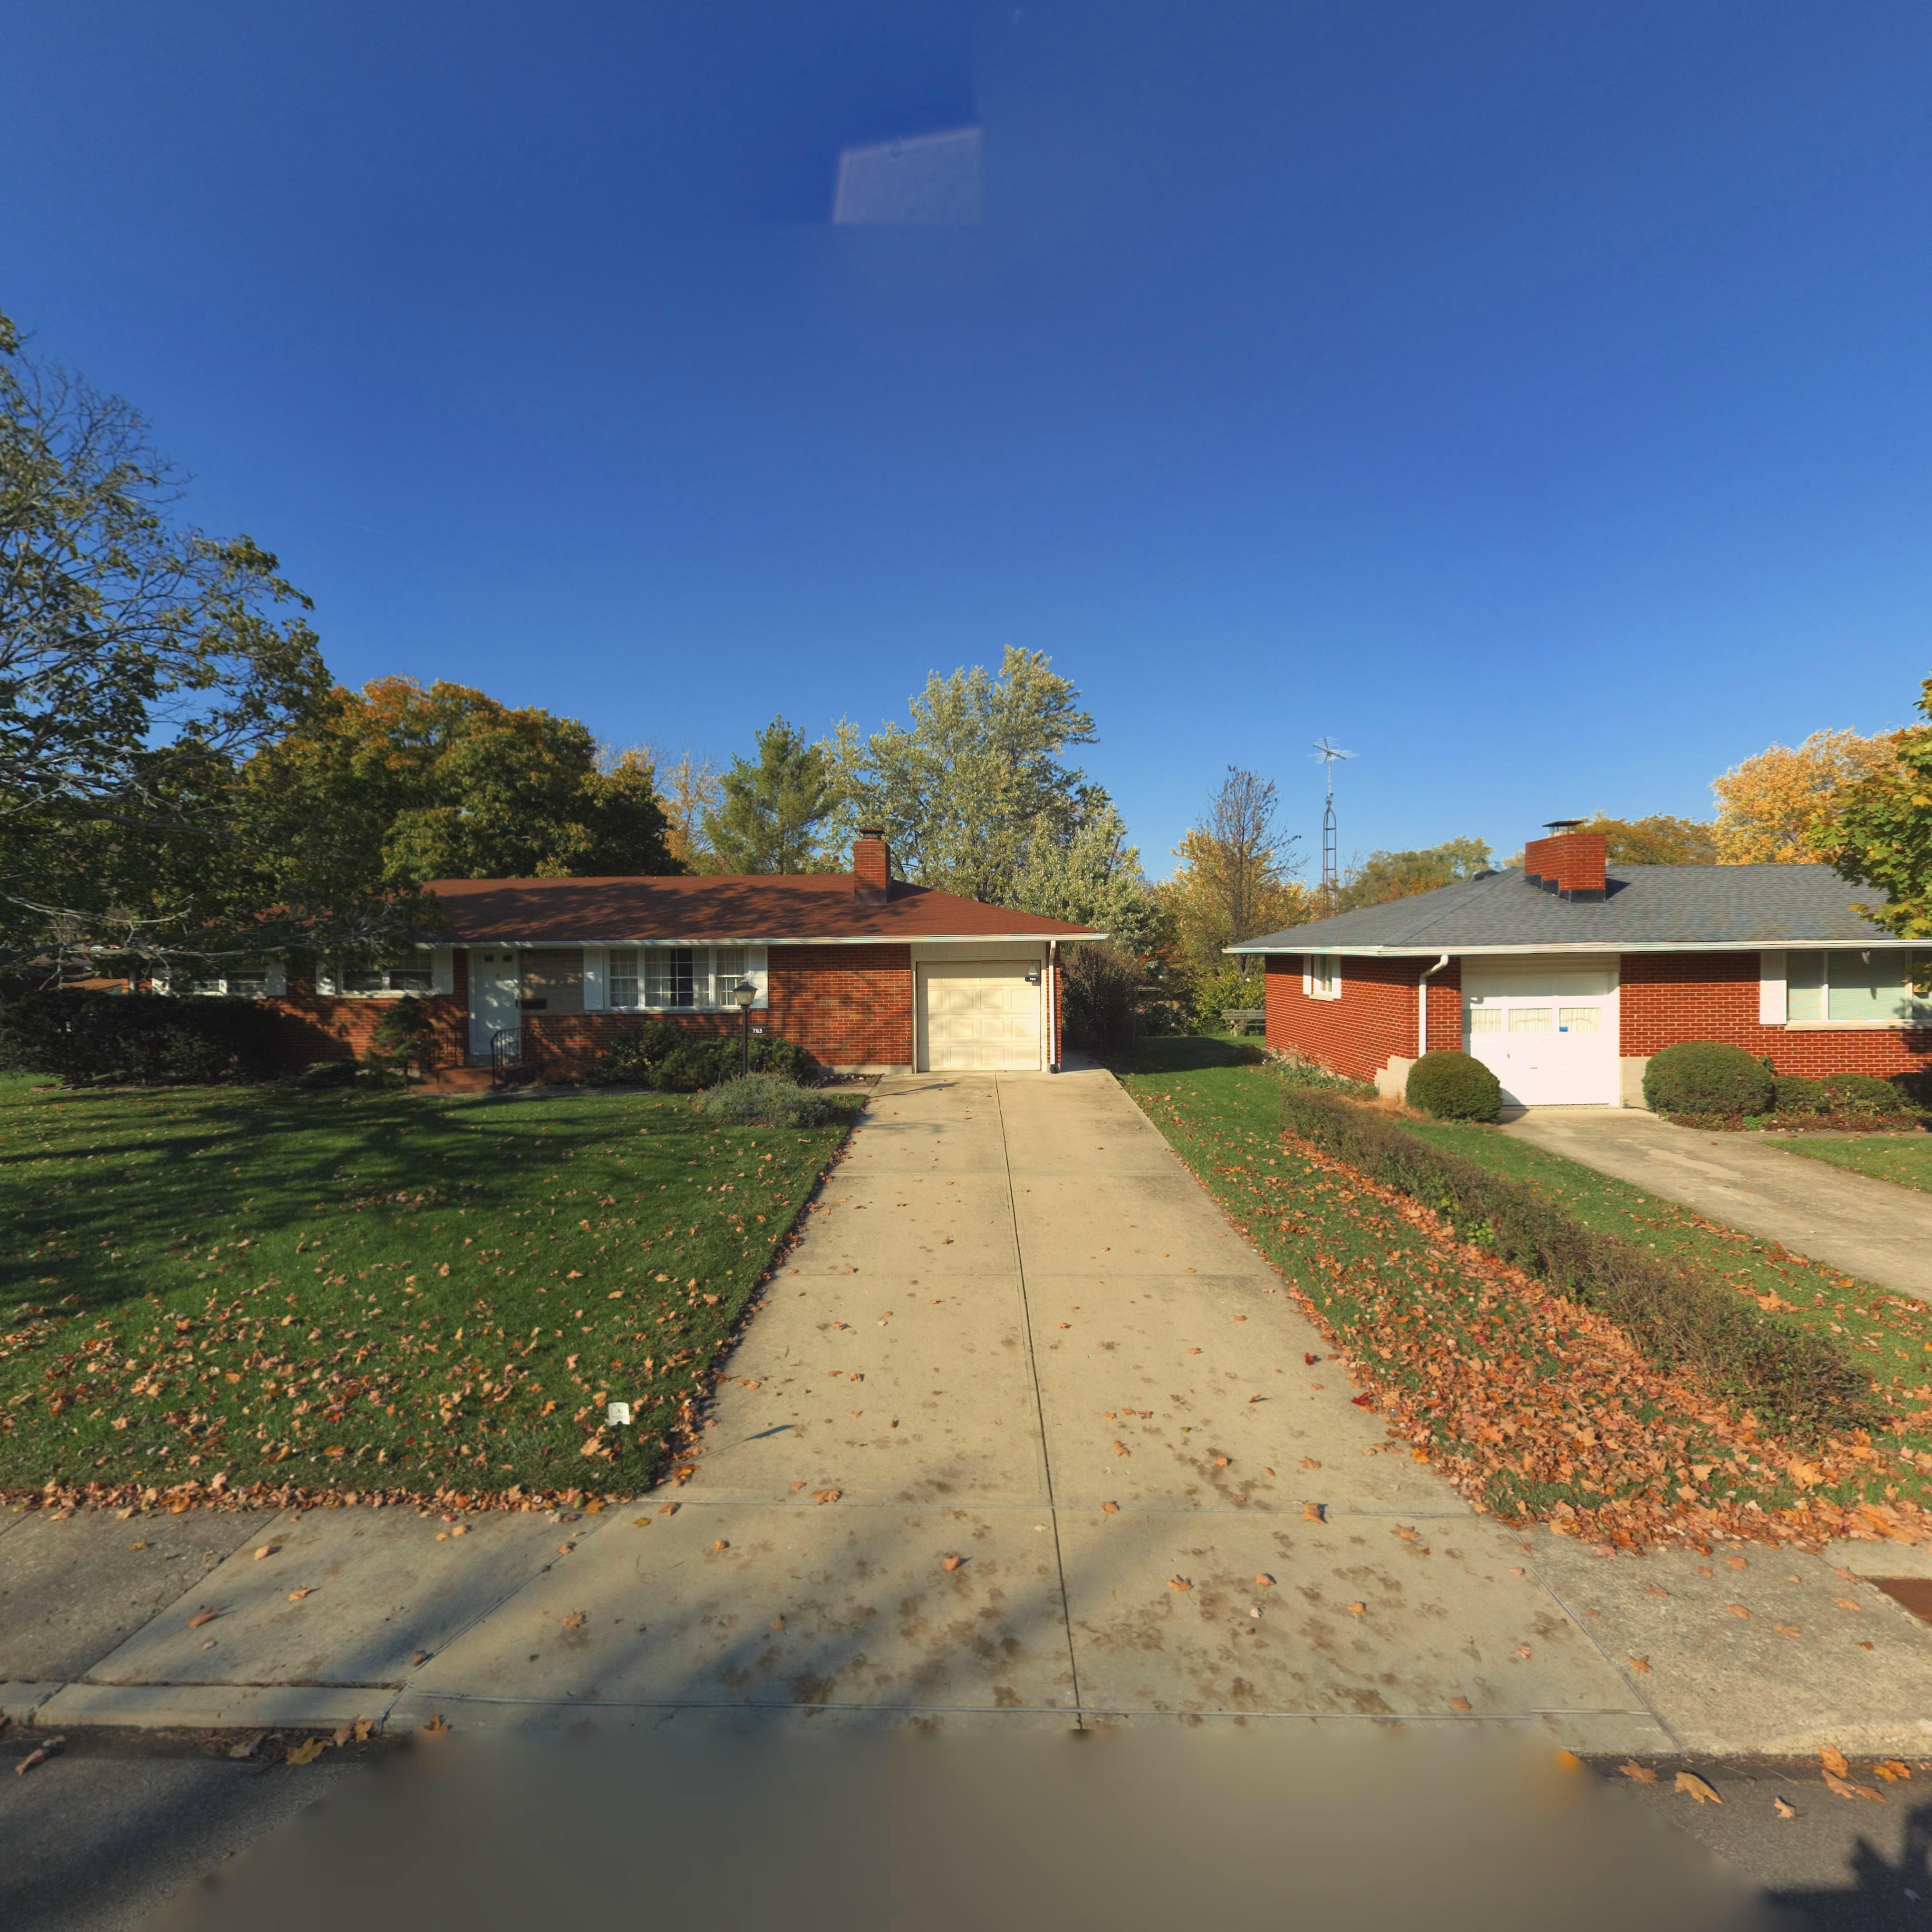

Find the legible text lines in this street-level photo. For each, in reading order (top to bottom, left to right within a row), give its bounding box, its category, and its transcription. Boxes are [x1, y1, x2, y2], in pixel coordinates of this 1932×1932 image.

[752, 1027, 763, 1034] StreetNumber: 763